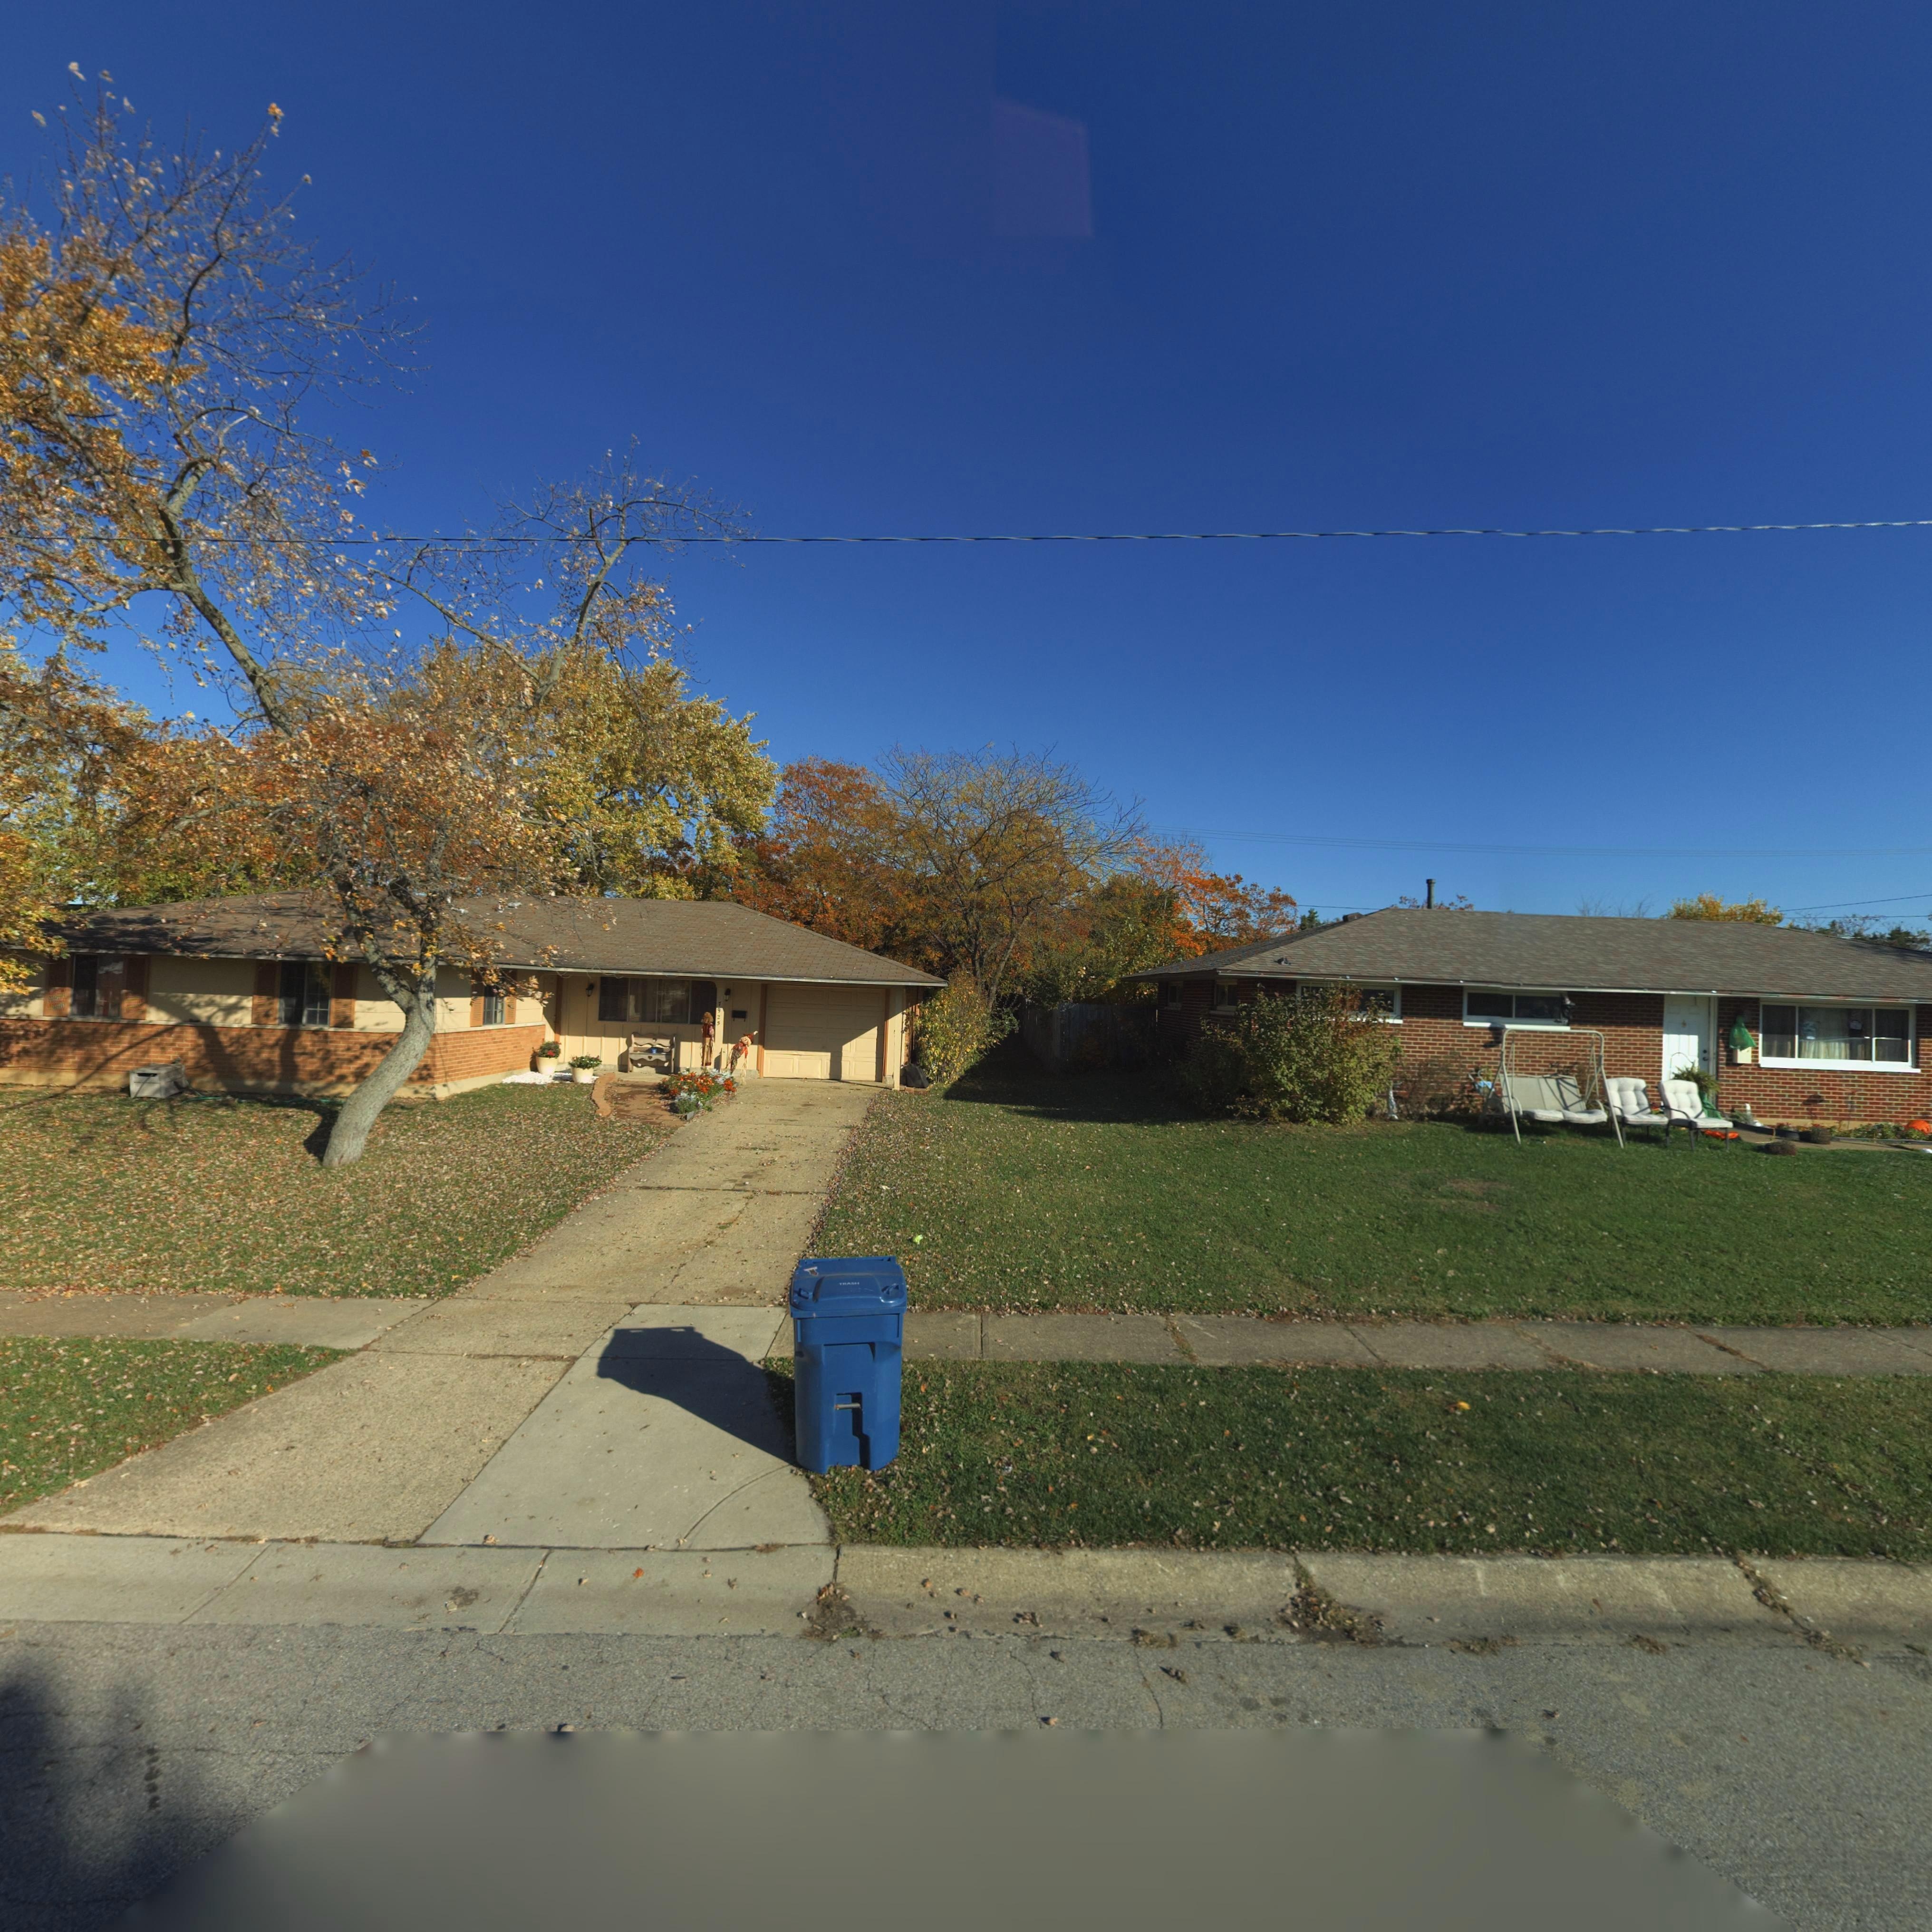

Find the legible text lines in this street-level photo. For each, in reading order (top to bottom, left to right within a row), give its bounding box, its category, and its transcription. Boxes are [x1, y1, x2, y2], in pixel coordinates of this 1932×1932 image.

[715, 1000, 722, 1026] StreetNumber: 7925